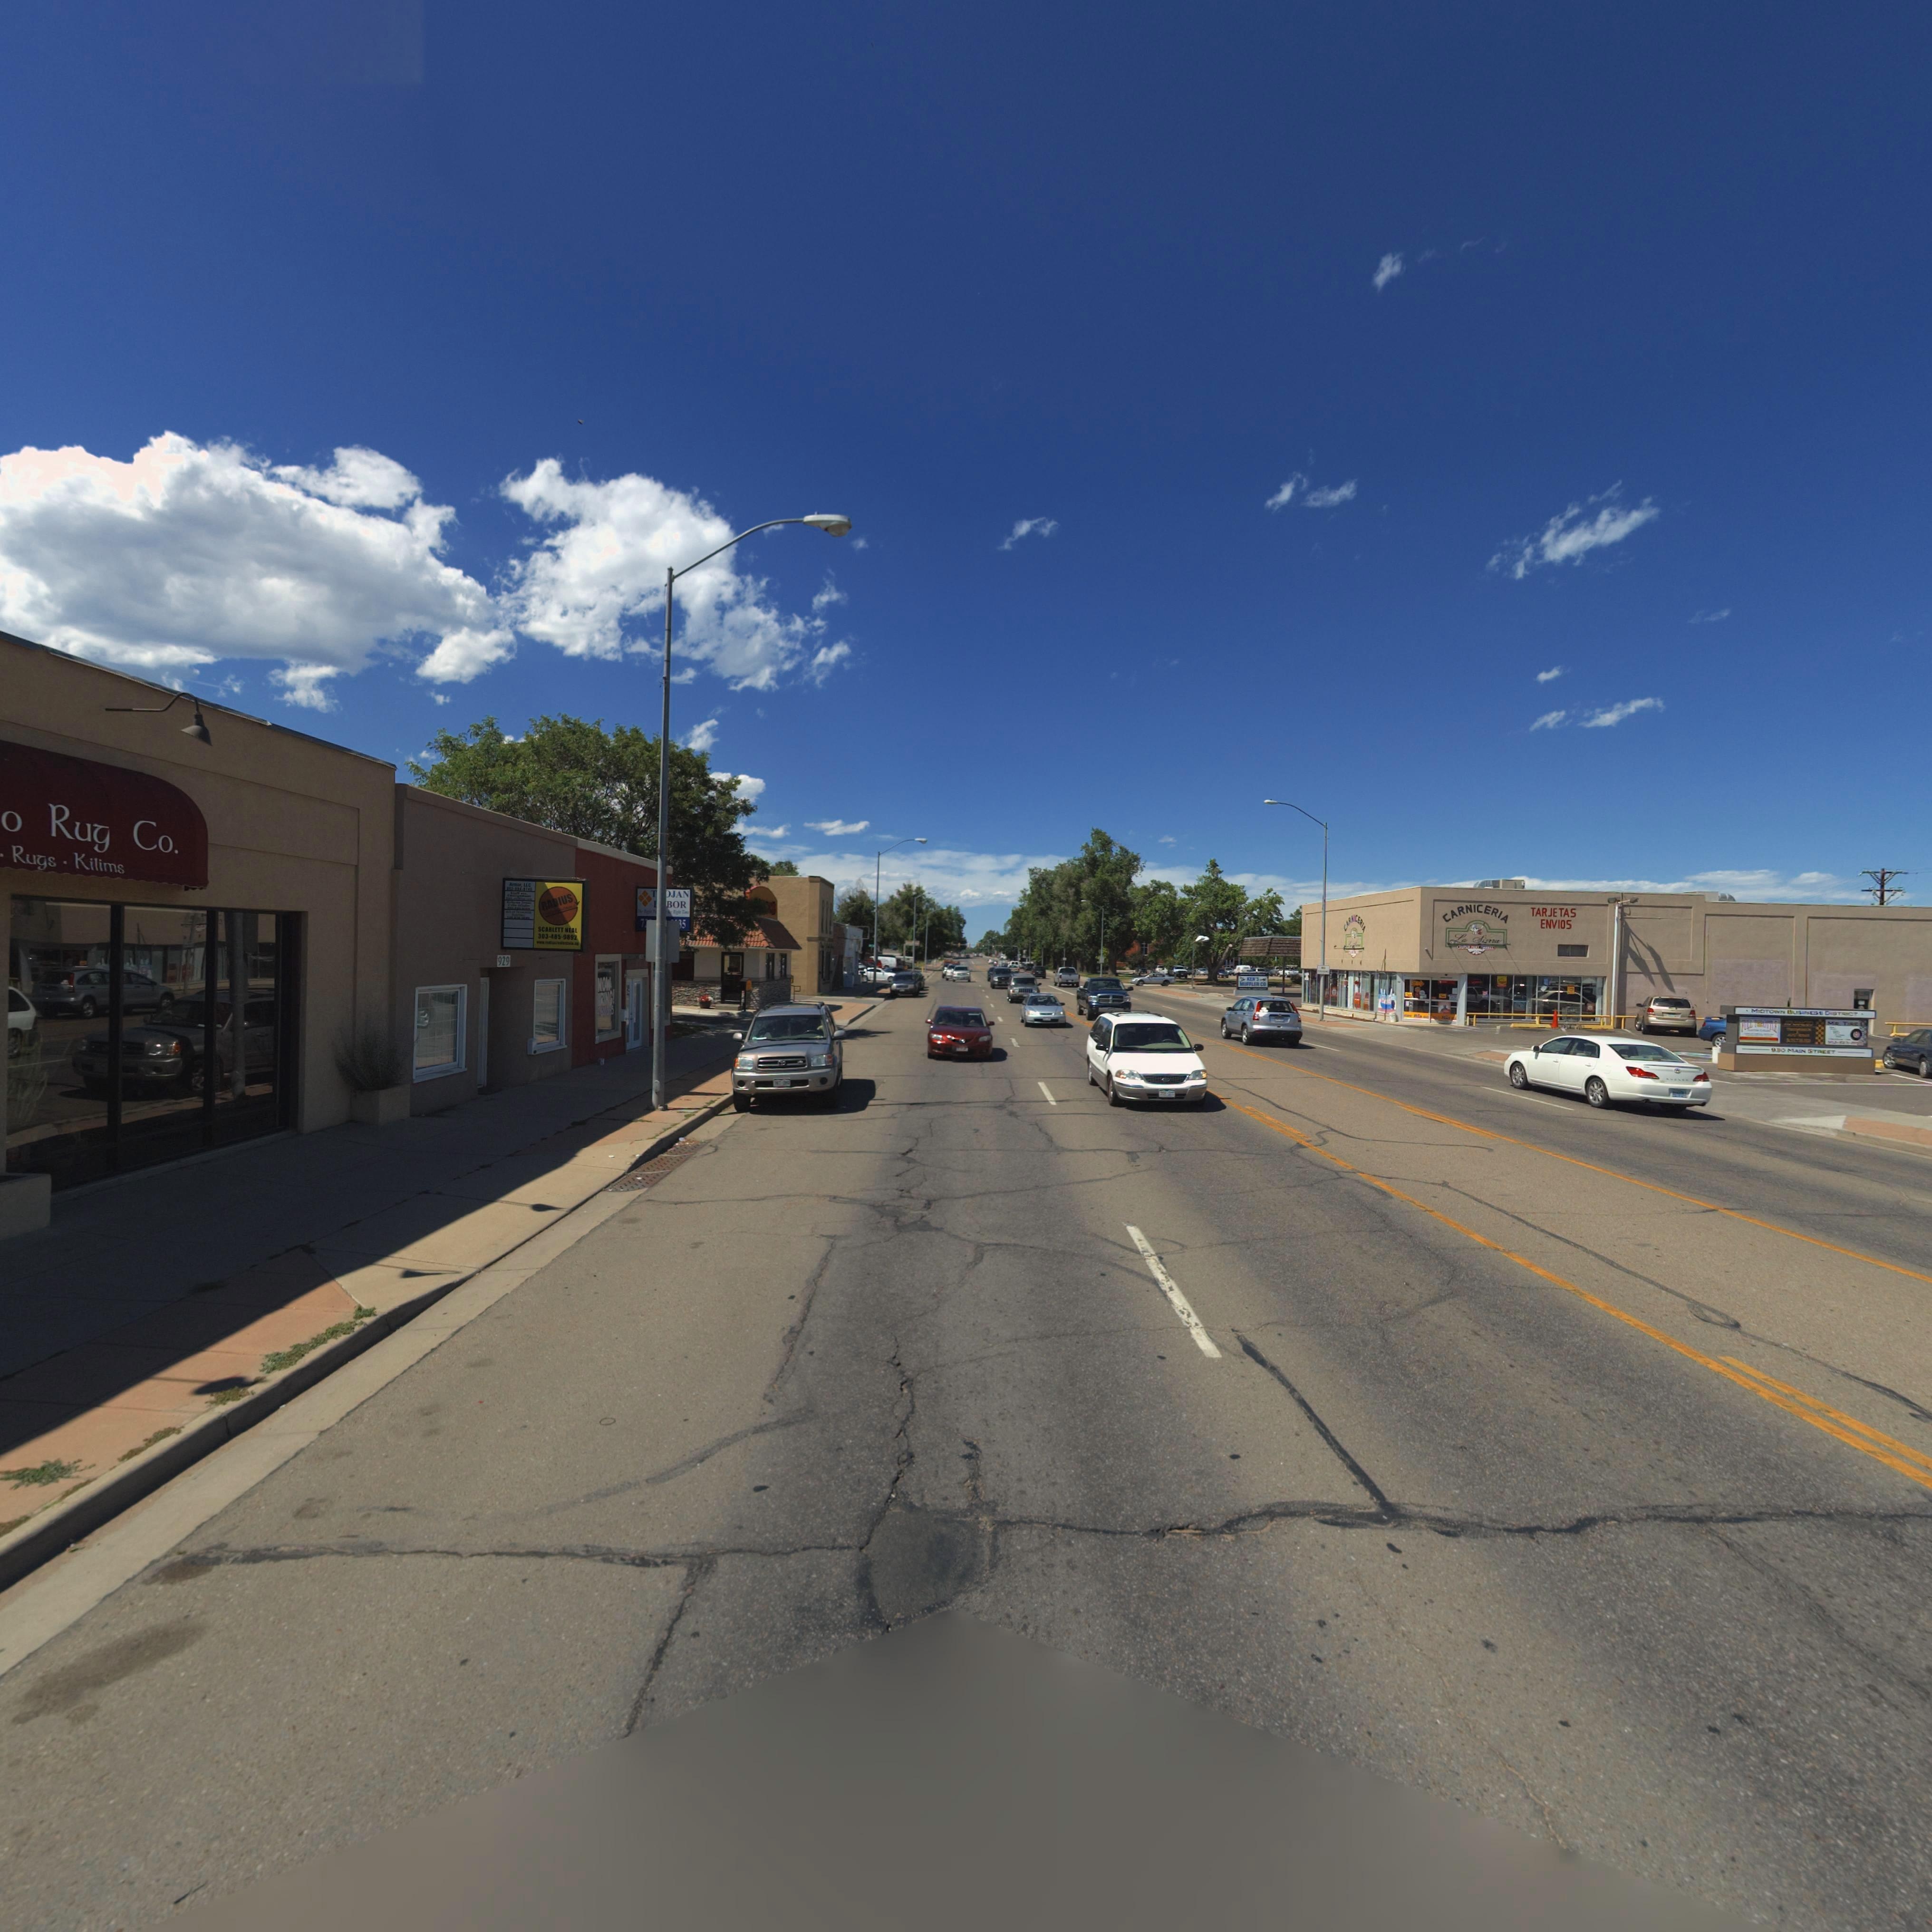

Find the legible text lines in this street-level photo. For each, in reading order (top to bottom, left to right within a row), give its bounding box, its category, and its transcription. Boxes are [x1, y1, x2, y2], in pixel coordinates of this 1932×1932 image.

[1, 803, 178, 854] BusinessName: o Rug Co.
[508, 882, 531, 887] BusinessName: Ar*** LLC
[650, 889, 689, 898] BusinessName: T**JAN
[540, 893, 573, 911] BusinessName: RADIUS
[654, 899, 686, 908] BusinessName: **BOR
[1442, 904, 1509, 924] BusinessName: CARNICERIA
[1343, 914, 1365, 933] BusinessName: CANICERIA
[1449, 933, 1503, 944] BusinessName: La Si*ra
[1346, 941, 1360, 947] BusinessName: L* S*****
[498, 956, 509, 966] StreetNumber: 929
[1246, 976, 1259, 981] BusinessName: *ENS
[1240, 982, 1266, 986] BusinessName: MUFFLER CO
[1740, 1019, 1777, 1034] BusinessName: FULL ***OTTL*
[1827, 1021, 1858, 1026] BusinessName: MR TIRE
[1770, 1047, 1786, 1053] StreetNumber: 9*0
[1787, 1047, 1835, 1054] StreetName: MAIN STRE*T